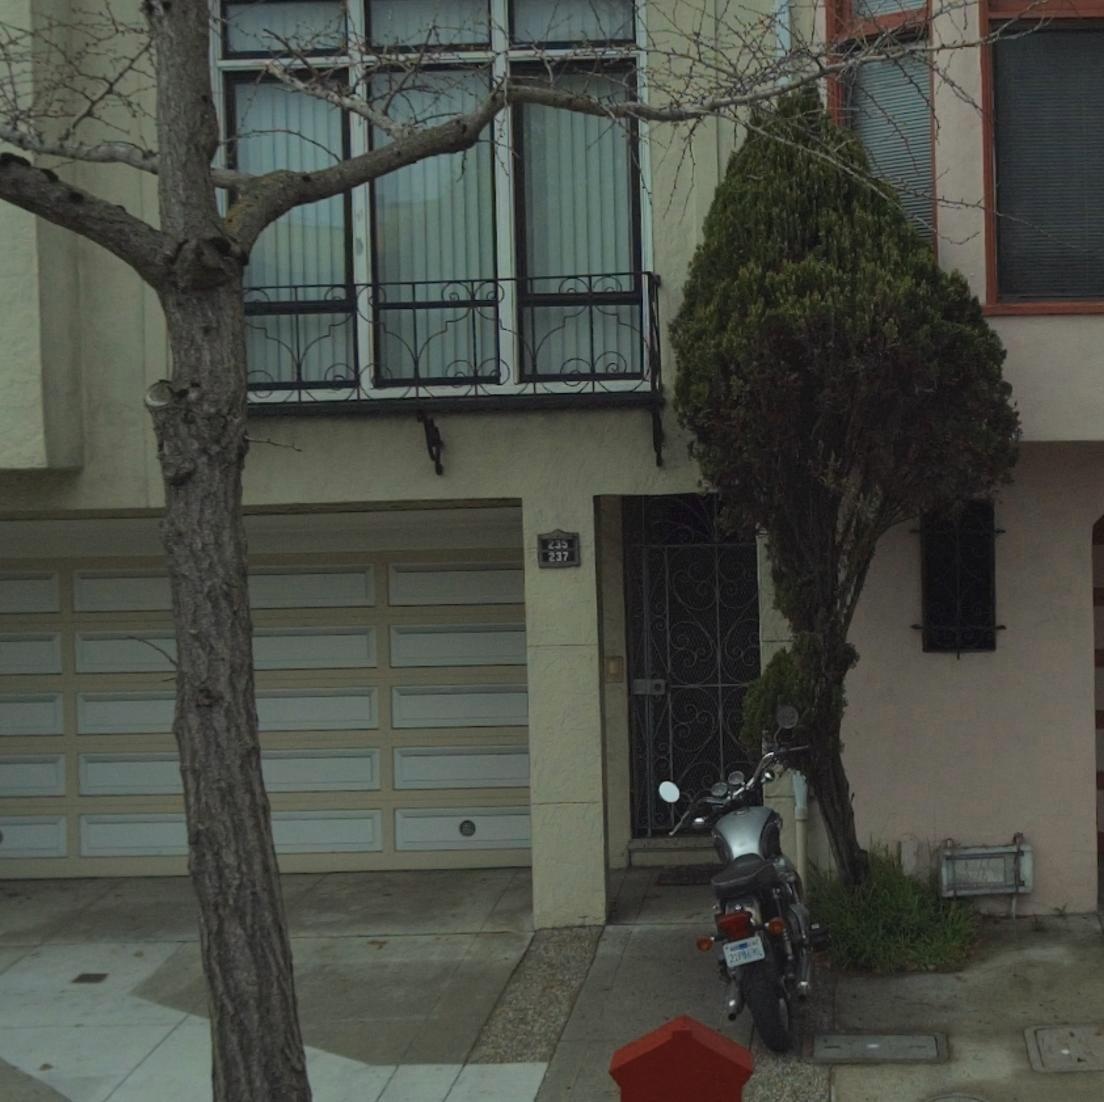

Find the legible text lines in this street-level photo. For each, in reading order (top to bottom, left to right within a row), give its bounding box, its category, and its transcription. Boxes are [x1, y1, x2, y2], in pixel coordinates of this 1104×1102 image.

[546, 538, 569, 550] StreetNumber: 235
[547, 550, 570, 562] StreetNumber: 237